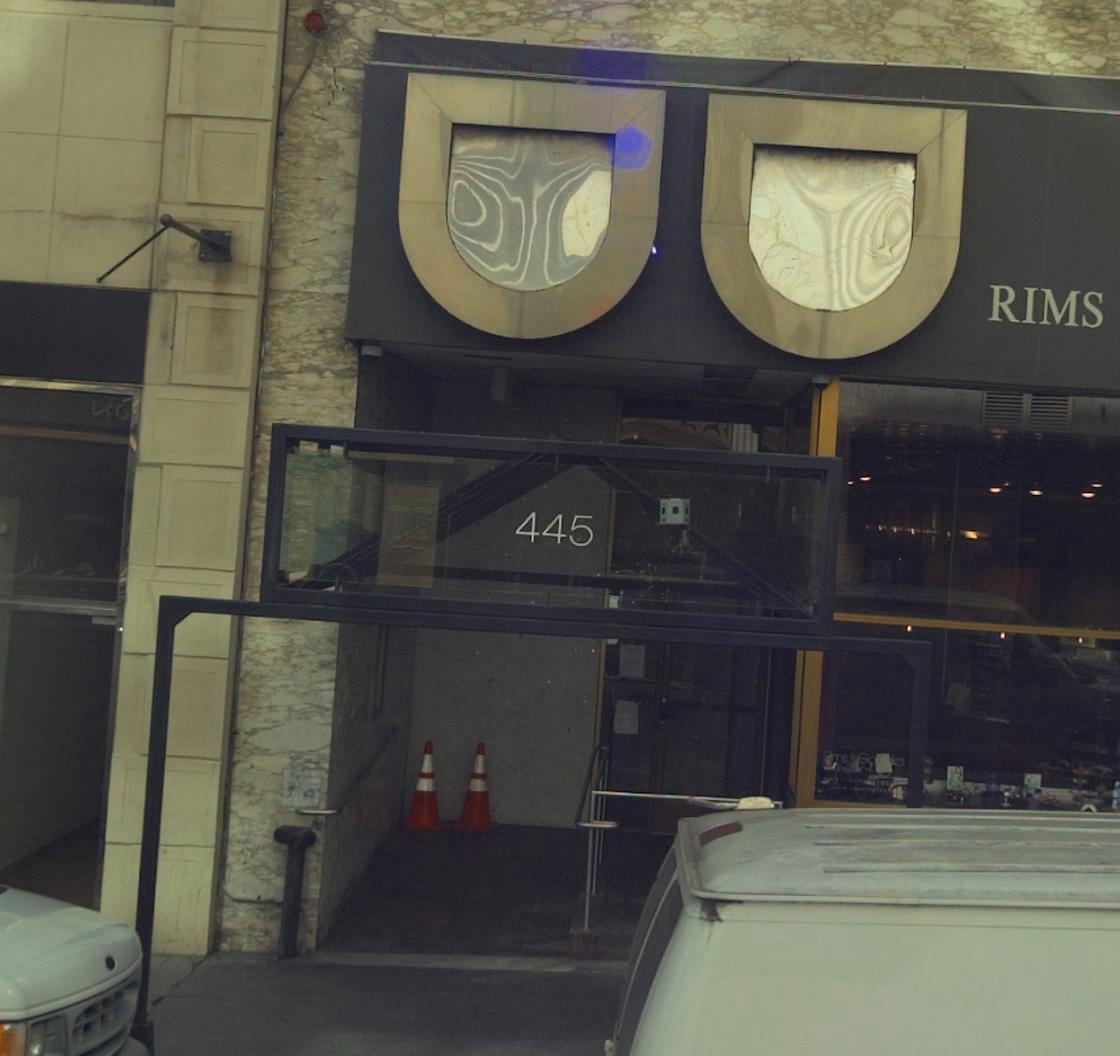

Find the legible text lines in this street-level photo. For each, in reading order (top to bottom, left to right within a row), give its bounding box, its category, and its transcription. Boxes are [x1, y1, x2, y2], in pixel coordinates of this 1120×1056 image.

[981, 277, 1109, 335] BusinessName: RIMS
[510, 506, 602, 552] StreetNumber: 445